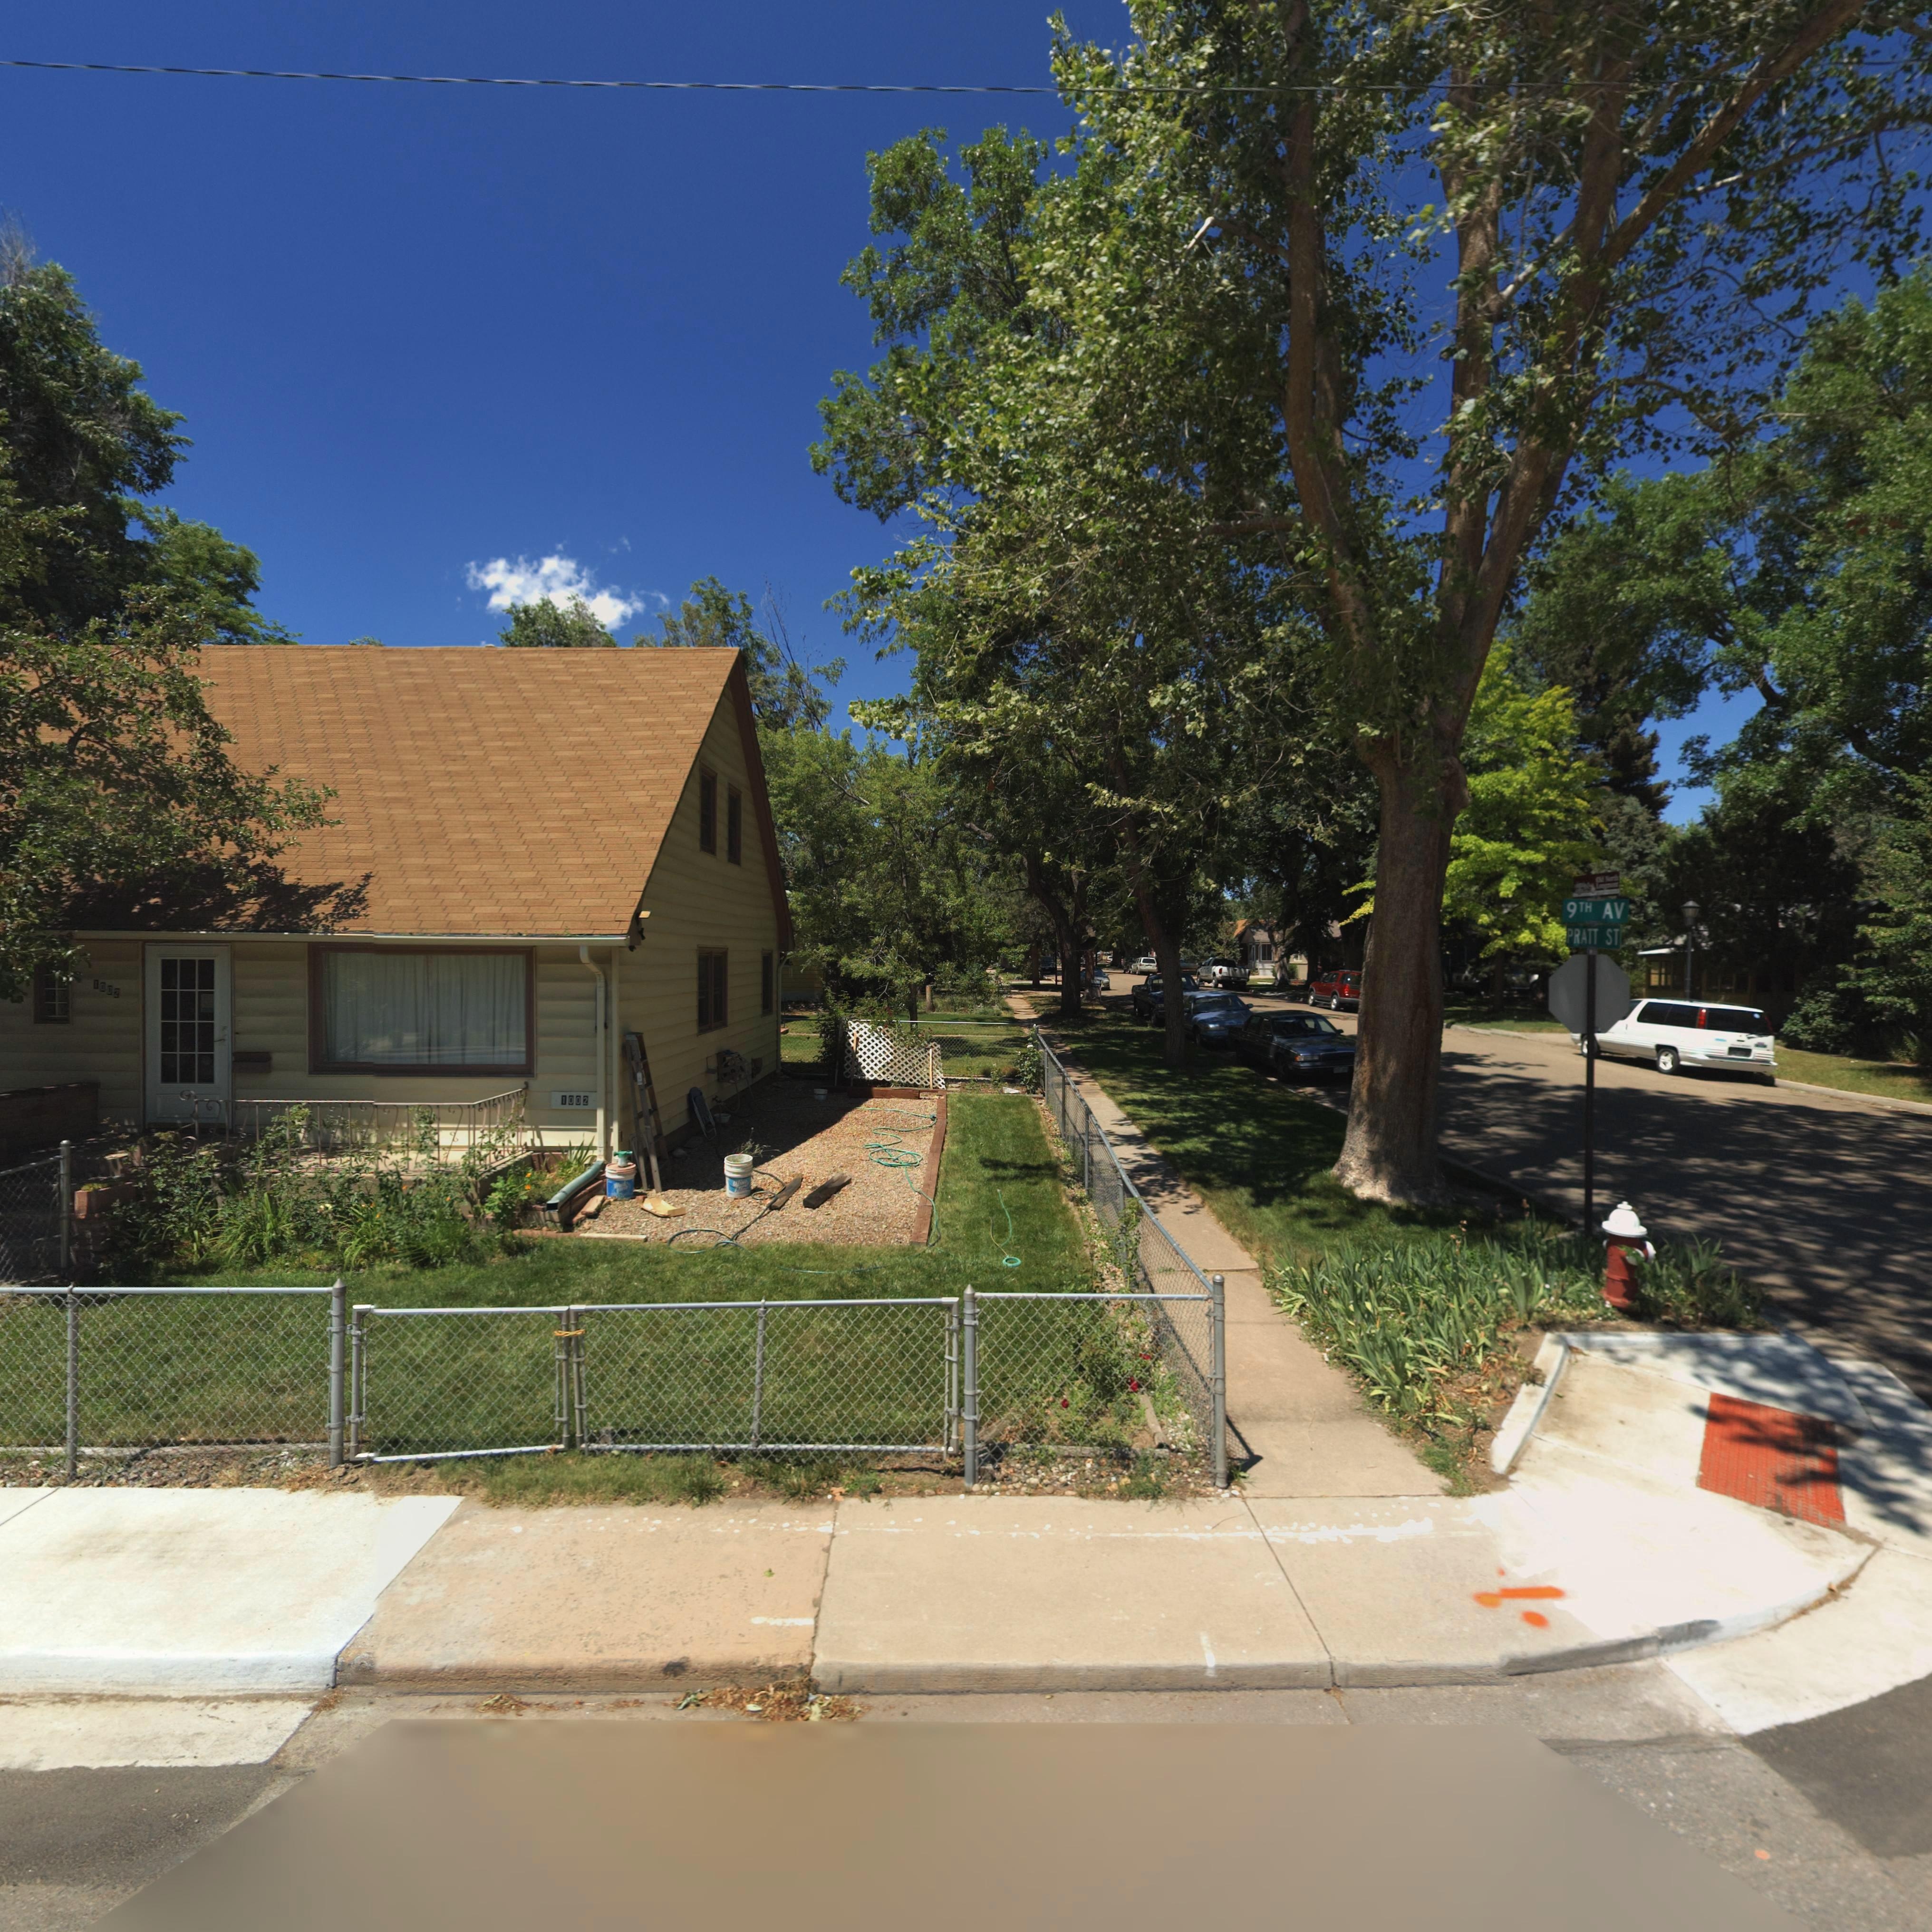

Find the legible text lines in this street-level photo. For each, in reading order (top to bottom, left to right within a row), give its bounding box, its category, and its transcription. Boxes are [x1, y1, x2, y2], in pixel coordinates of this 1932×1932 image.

[1566, 901, 1624, 919] StreetName: 9TH AV
[1566, 928, 1619, 946] StreetName: PRATT ST
[95, 980, 119, 997] StreetNumber: 1002
[562, 1096, 588, 1104] StreetNumber: 1002